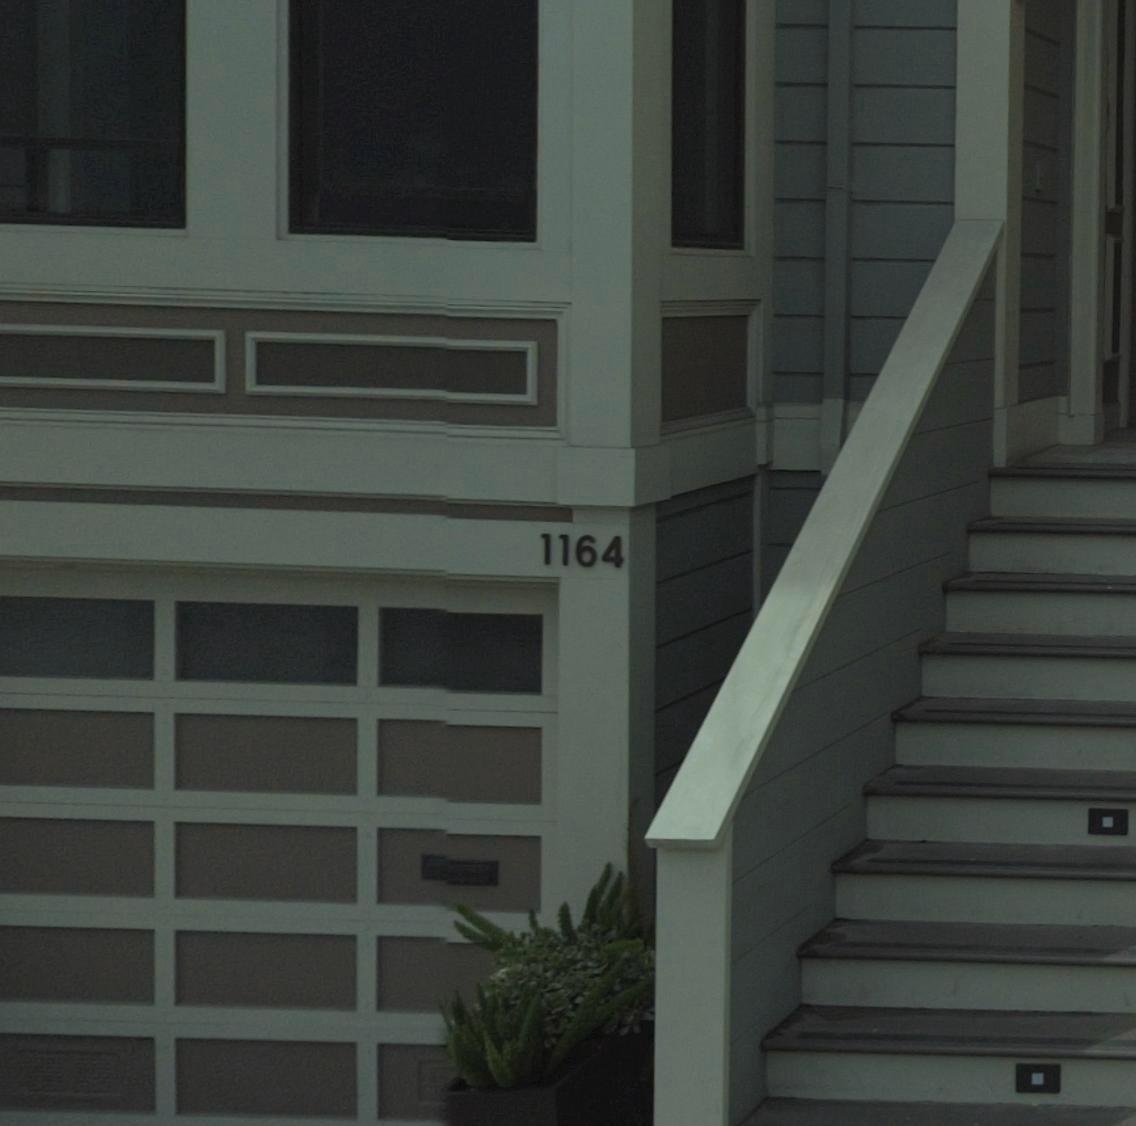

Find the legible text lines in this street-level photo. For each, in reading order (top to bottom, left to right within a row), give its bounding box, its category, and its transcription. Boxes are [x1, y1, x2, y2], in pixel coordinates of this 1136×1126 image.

[537, 531, 627, 572] StreetNumber: 1164